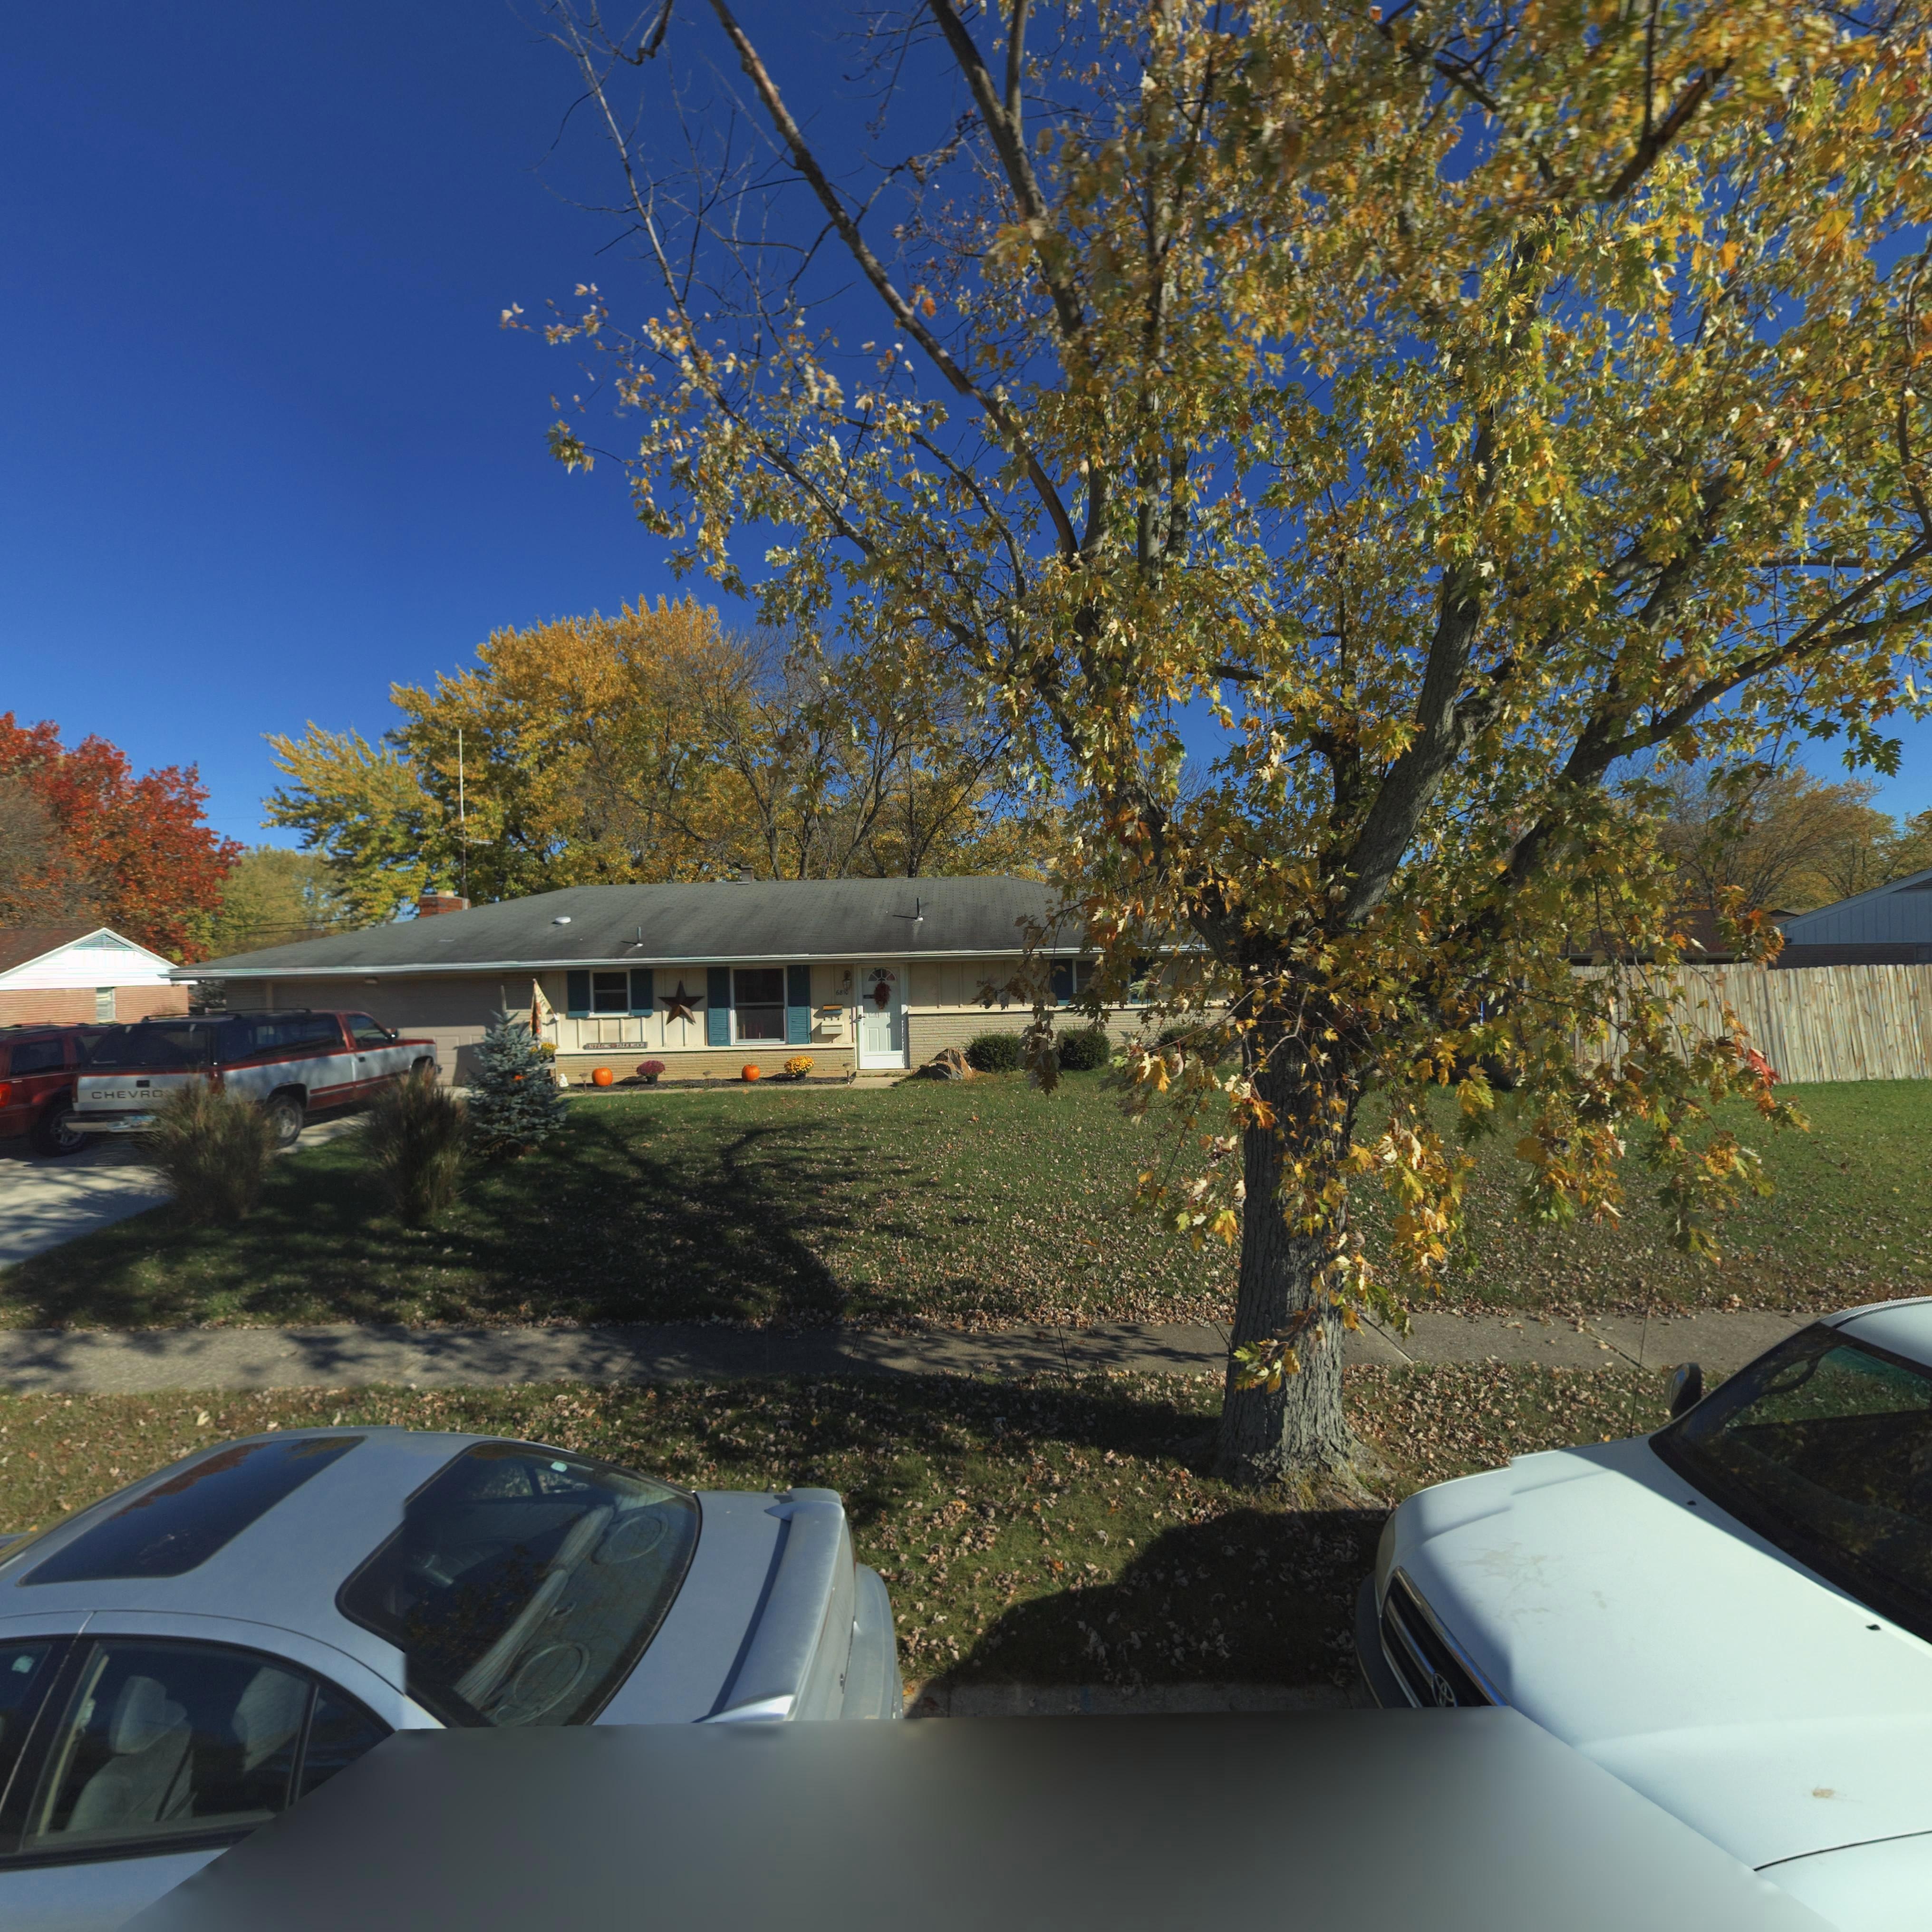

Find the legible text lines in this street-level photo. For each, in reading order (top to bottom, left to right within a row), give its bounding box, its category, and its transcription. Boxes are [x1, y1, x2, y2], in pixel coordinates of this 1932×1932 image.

[835, 989, 849, 995] StreetNumber: 6810
[588, 1043, 611, 1049] None: SIT LONG
[615, 1042, 645, 1048] None: TALK MUCH
[91, 1090, 164, 1100] None: CHEVRO